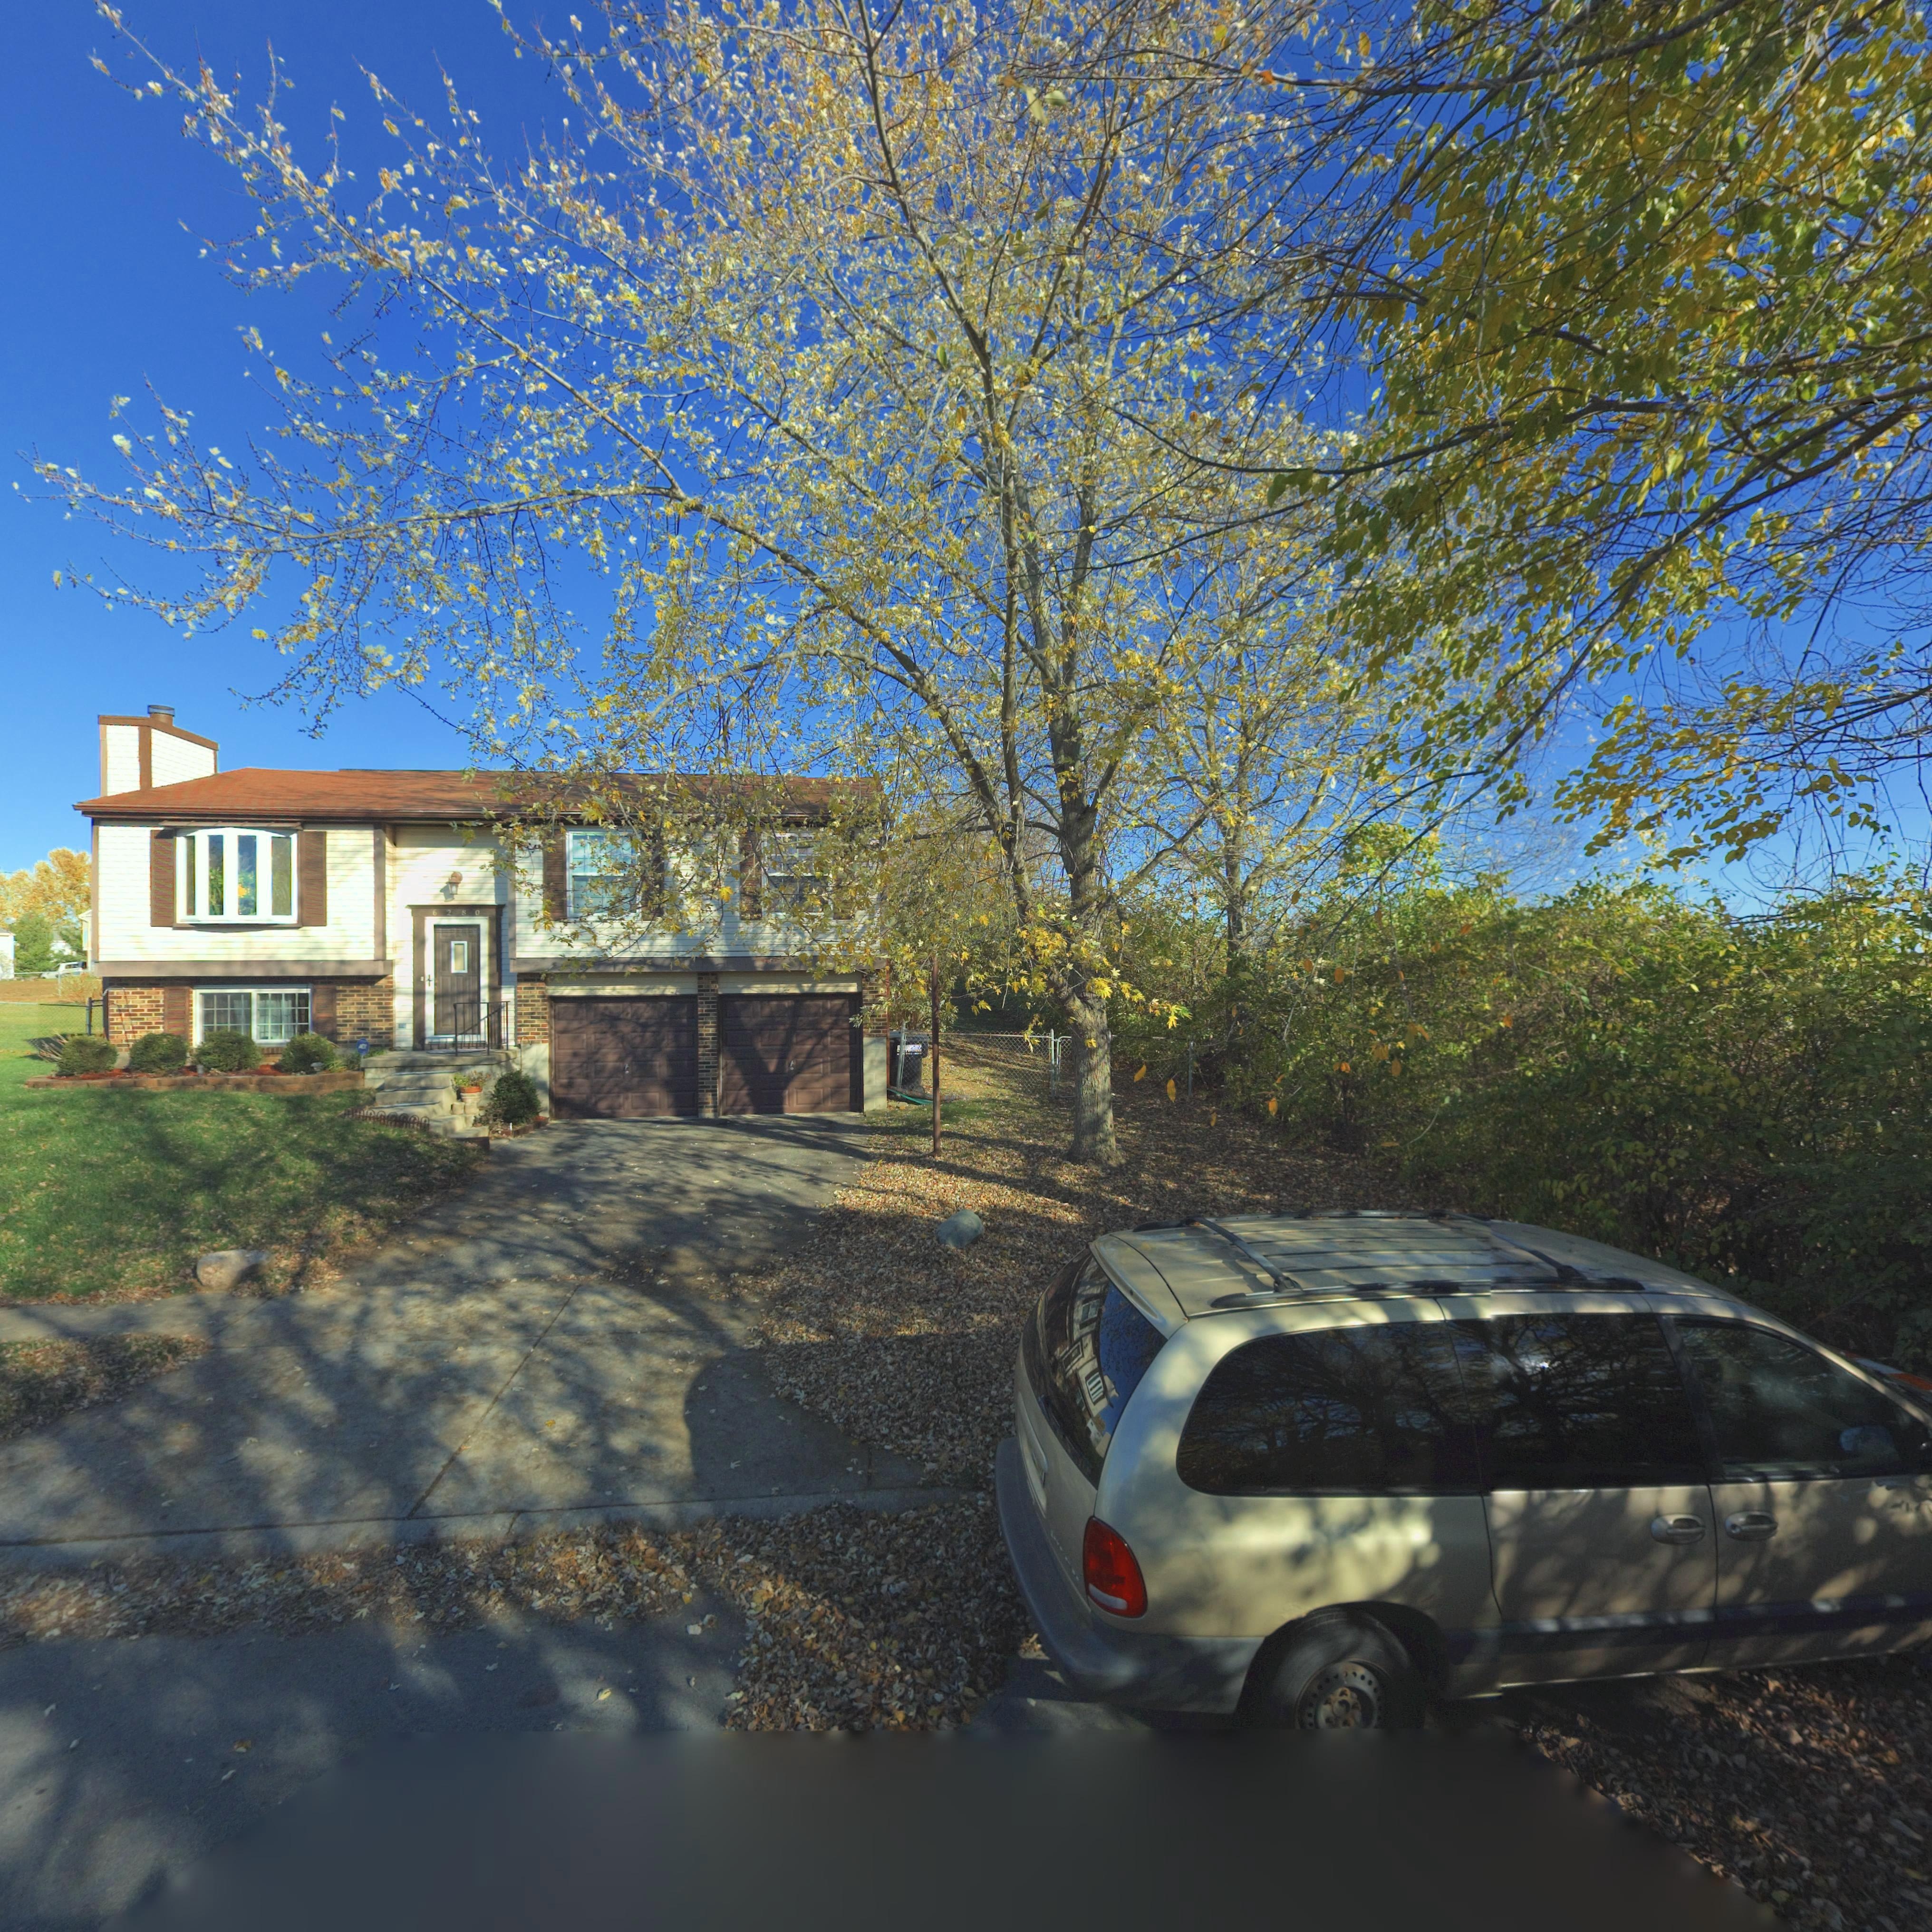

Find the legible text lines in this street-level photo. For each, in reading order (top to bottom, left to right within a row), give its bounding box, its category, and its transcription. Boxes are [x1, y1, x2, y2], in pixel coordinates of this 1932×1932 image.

[431, 908, 481, 917] StreetNumber: 6280